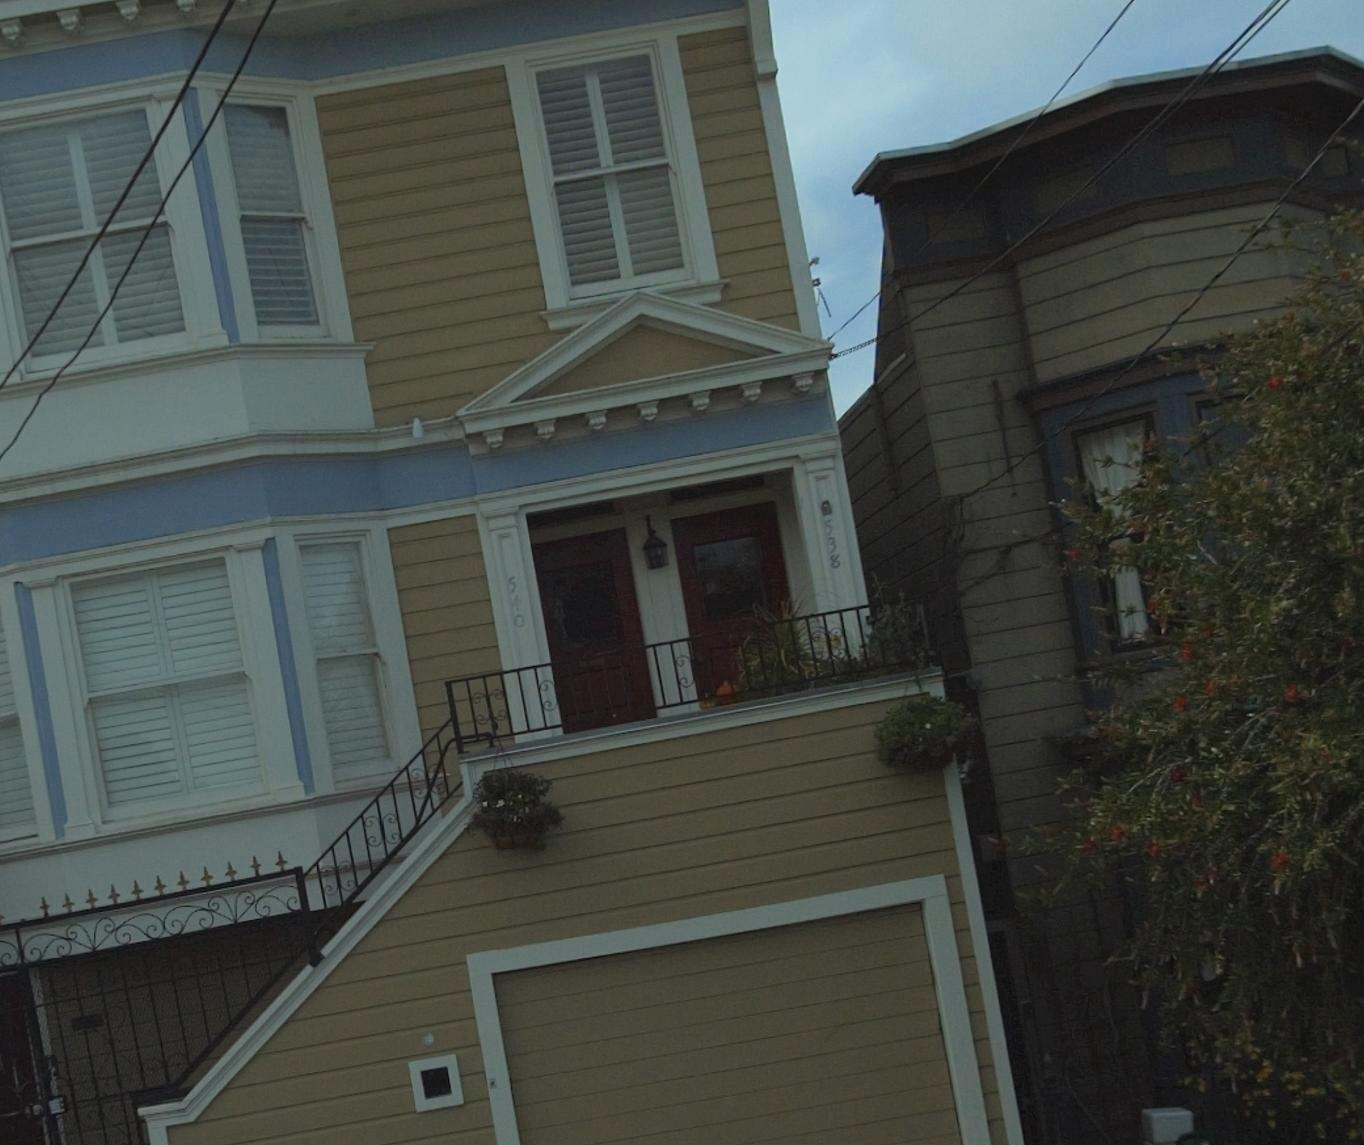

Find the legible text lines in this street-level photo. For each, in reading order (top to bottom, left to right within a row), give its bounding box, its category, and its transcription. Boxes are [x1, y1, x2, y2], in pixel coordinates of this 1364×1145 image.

[823, 517, 842, 572] StreetNumber: 538
[506, 574, 527, 633] StreetNumber: 540